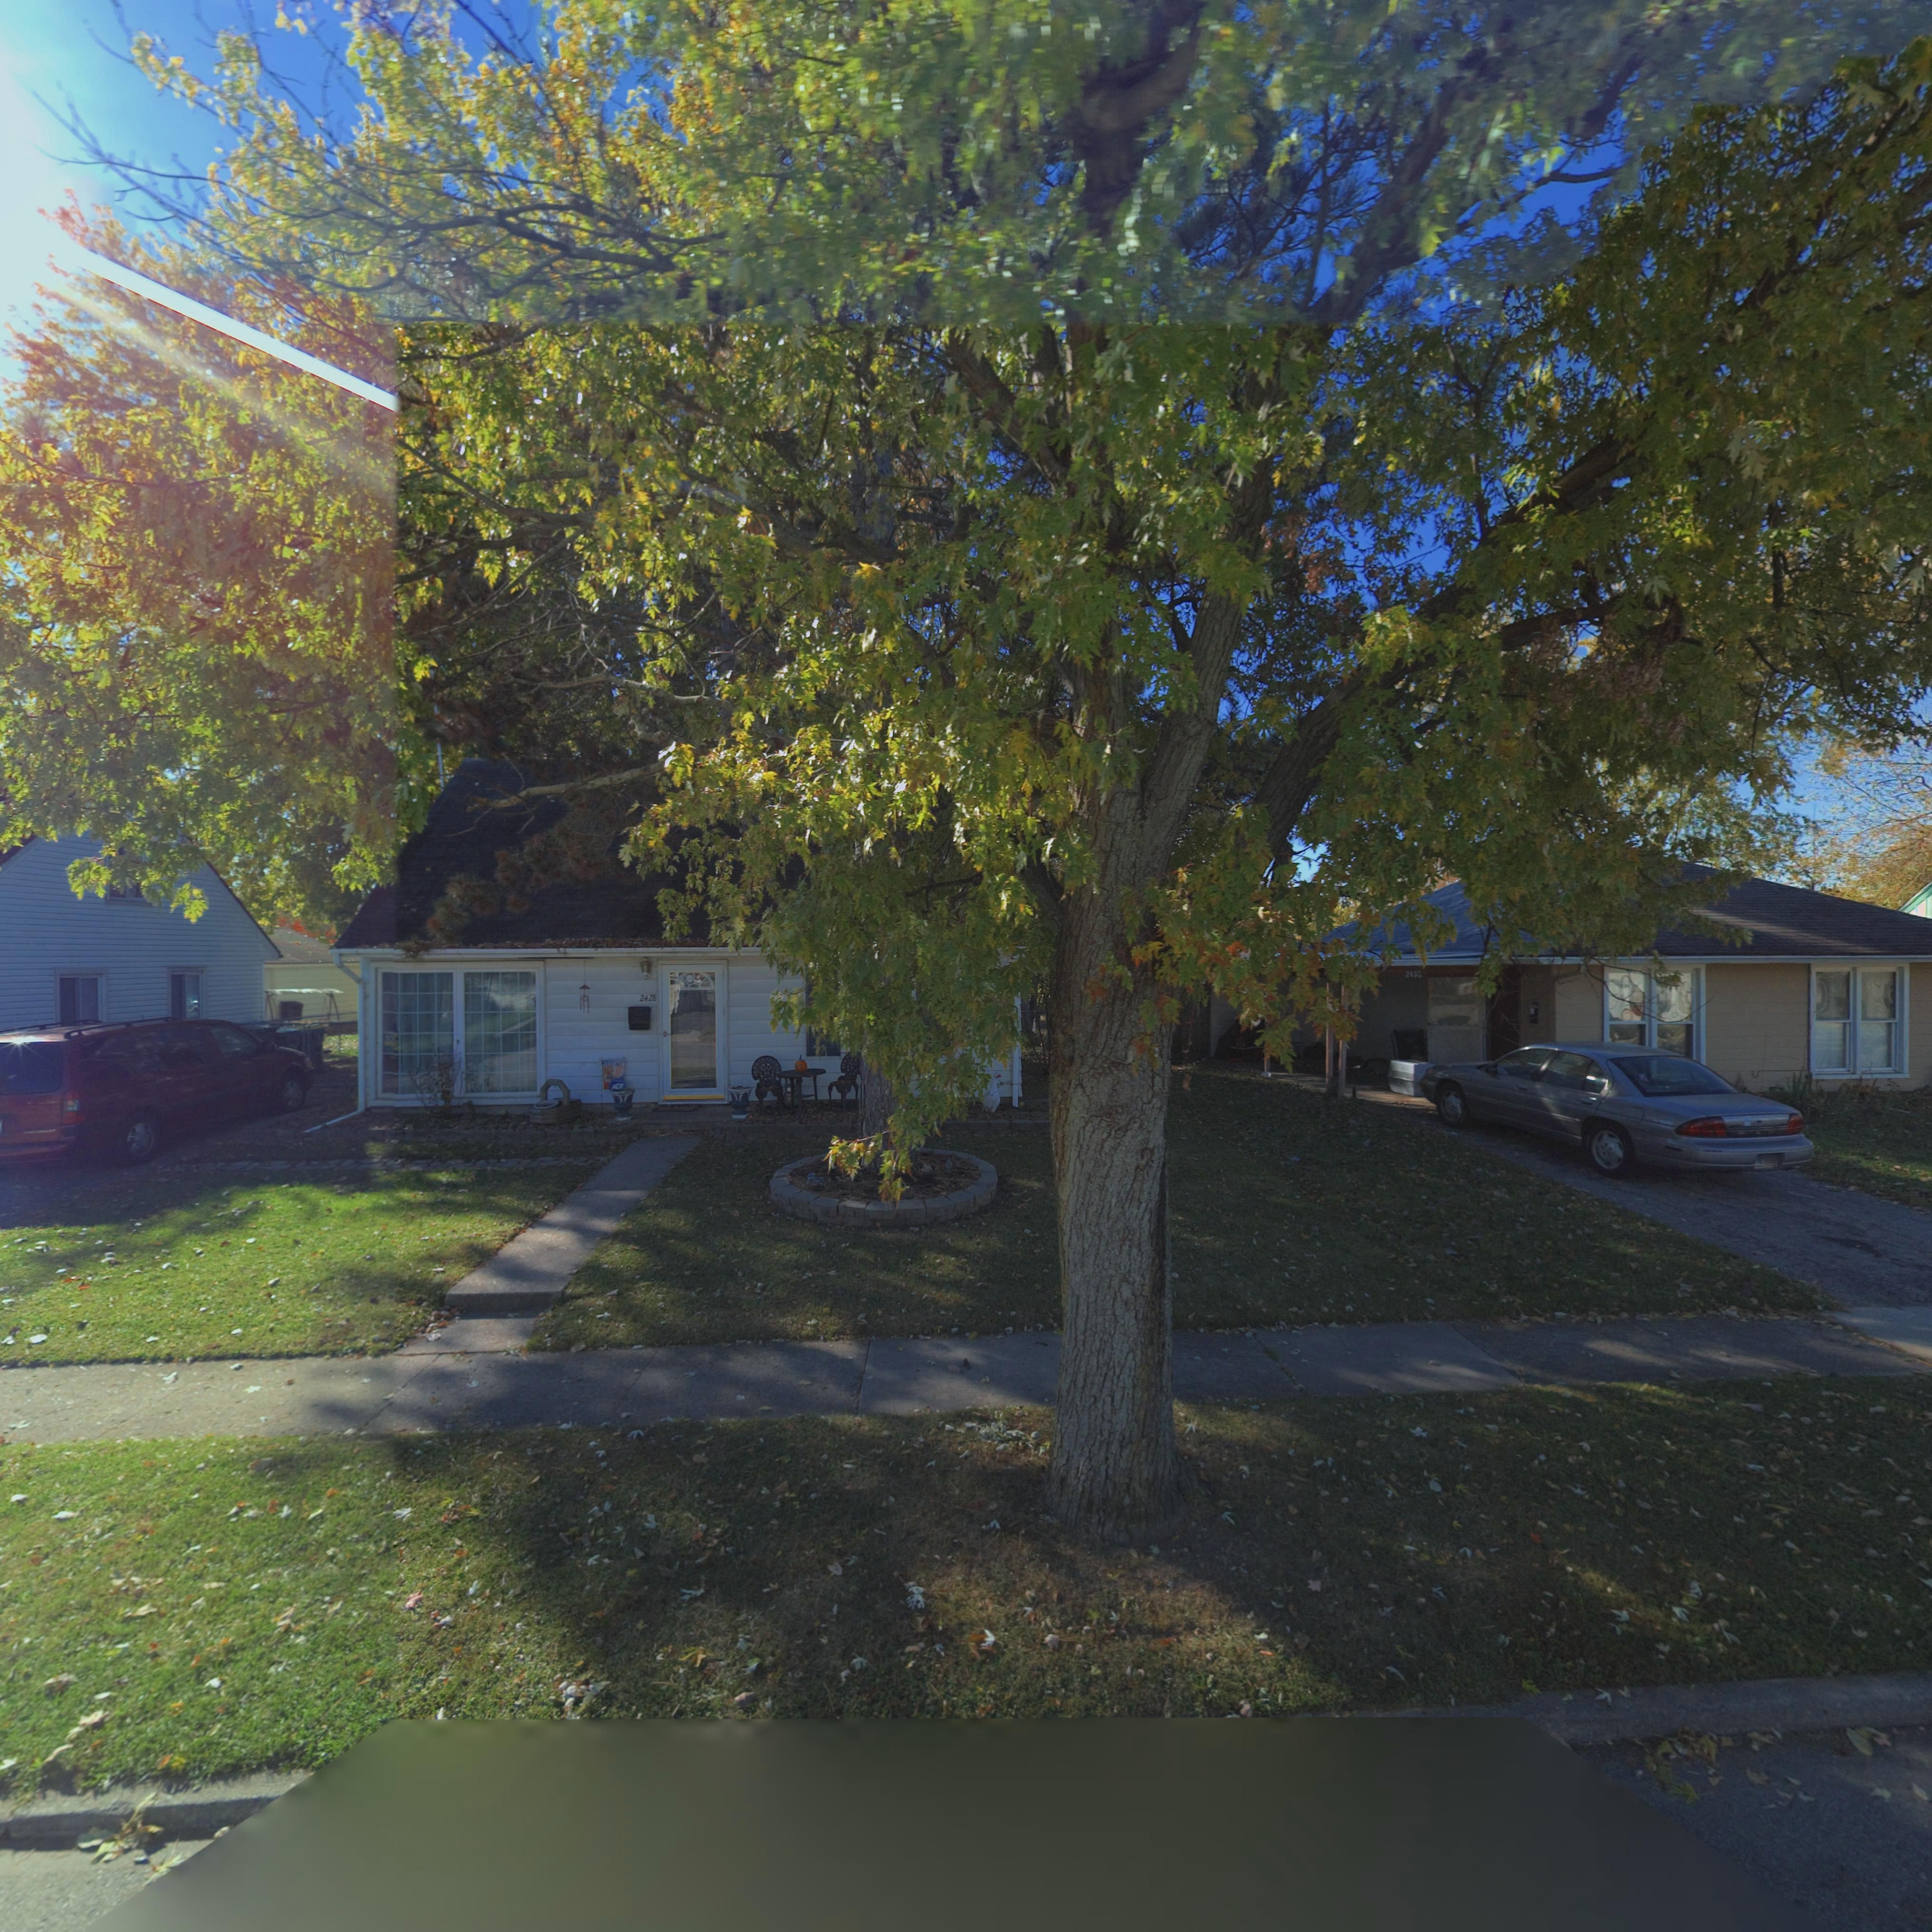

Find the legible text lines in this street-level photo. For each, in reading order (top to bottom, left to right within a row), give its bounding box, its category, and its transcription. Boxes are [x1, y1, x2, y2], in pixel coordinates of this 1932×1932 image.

[1404, 970, 1422, 979] StreetNumber: 243*
[639, 994, 657, 1002] StreetNumber: 2428